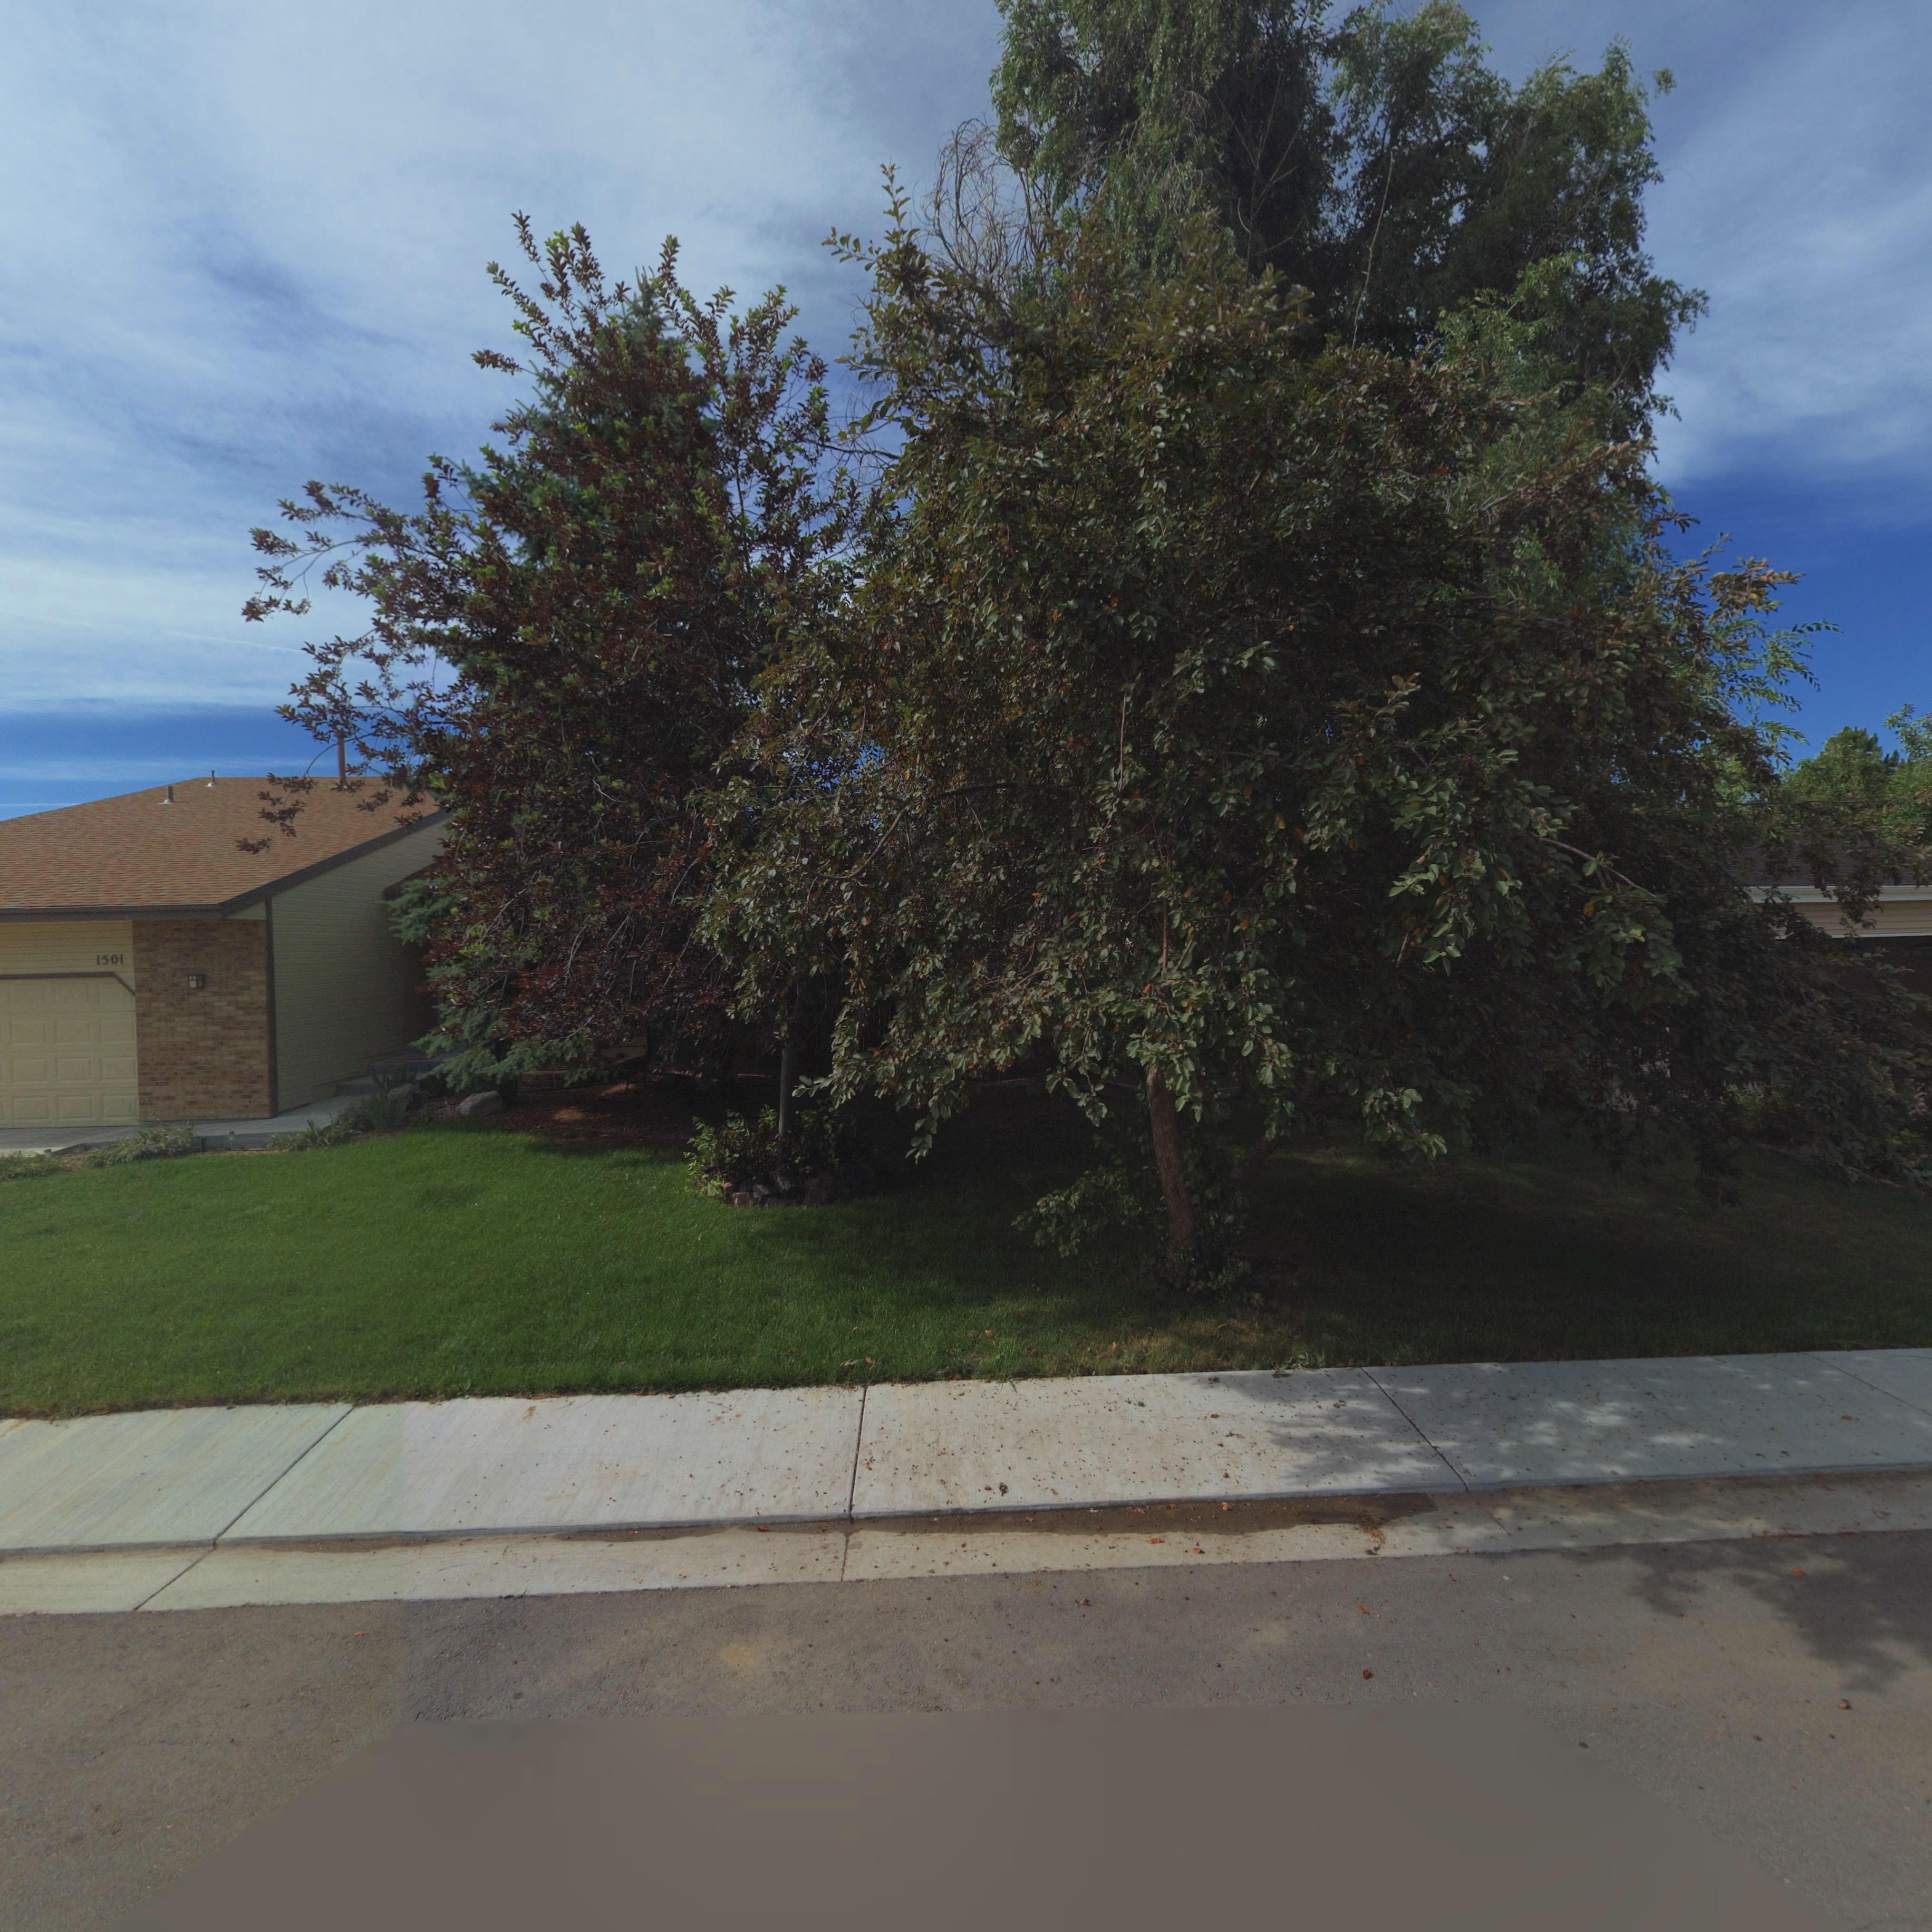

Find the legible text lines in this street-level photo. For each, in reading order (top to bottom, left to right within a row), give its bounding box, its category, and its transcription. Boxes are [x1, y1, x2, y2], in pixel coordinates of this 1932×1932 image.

[96, 953, 124, 965] StreetNumber: 1501